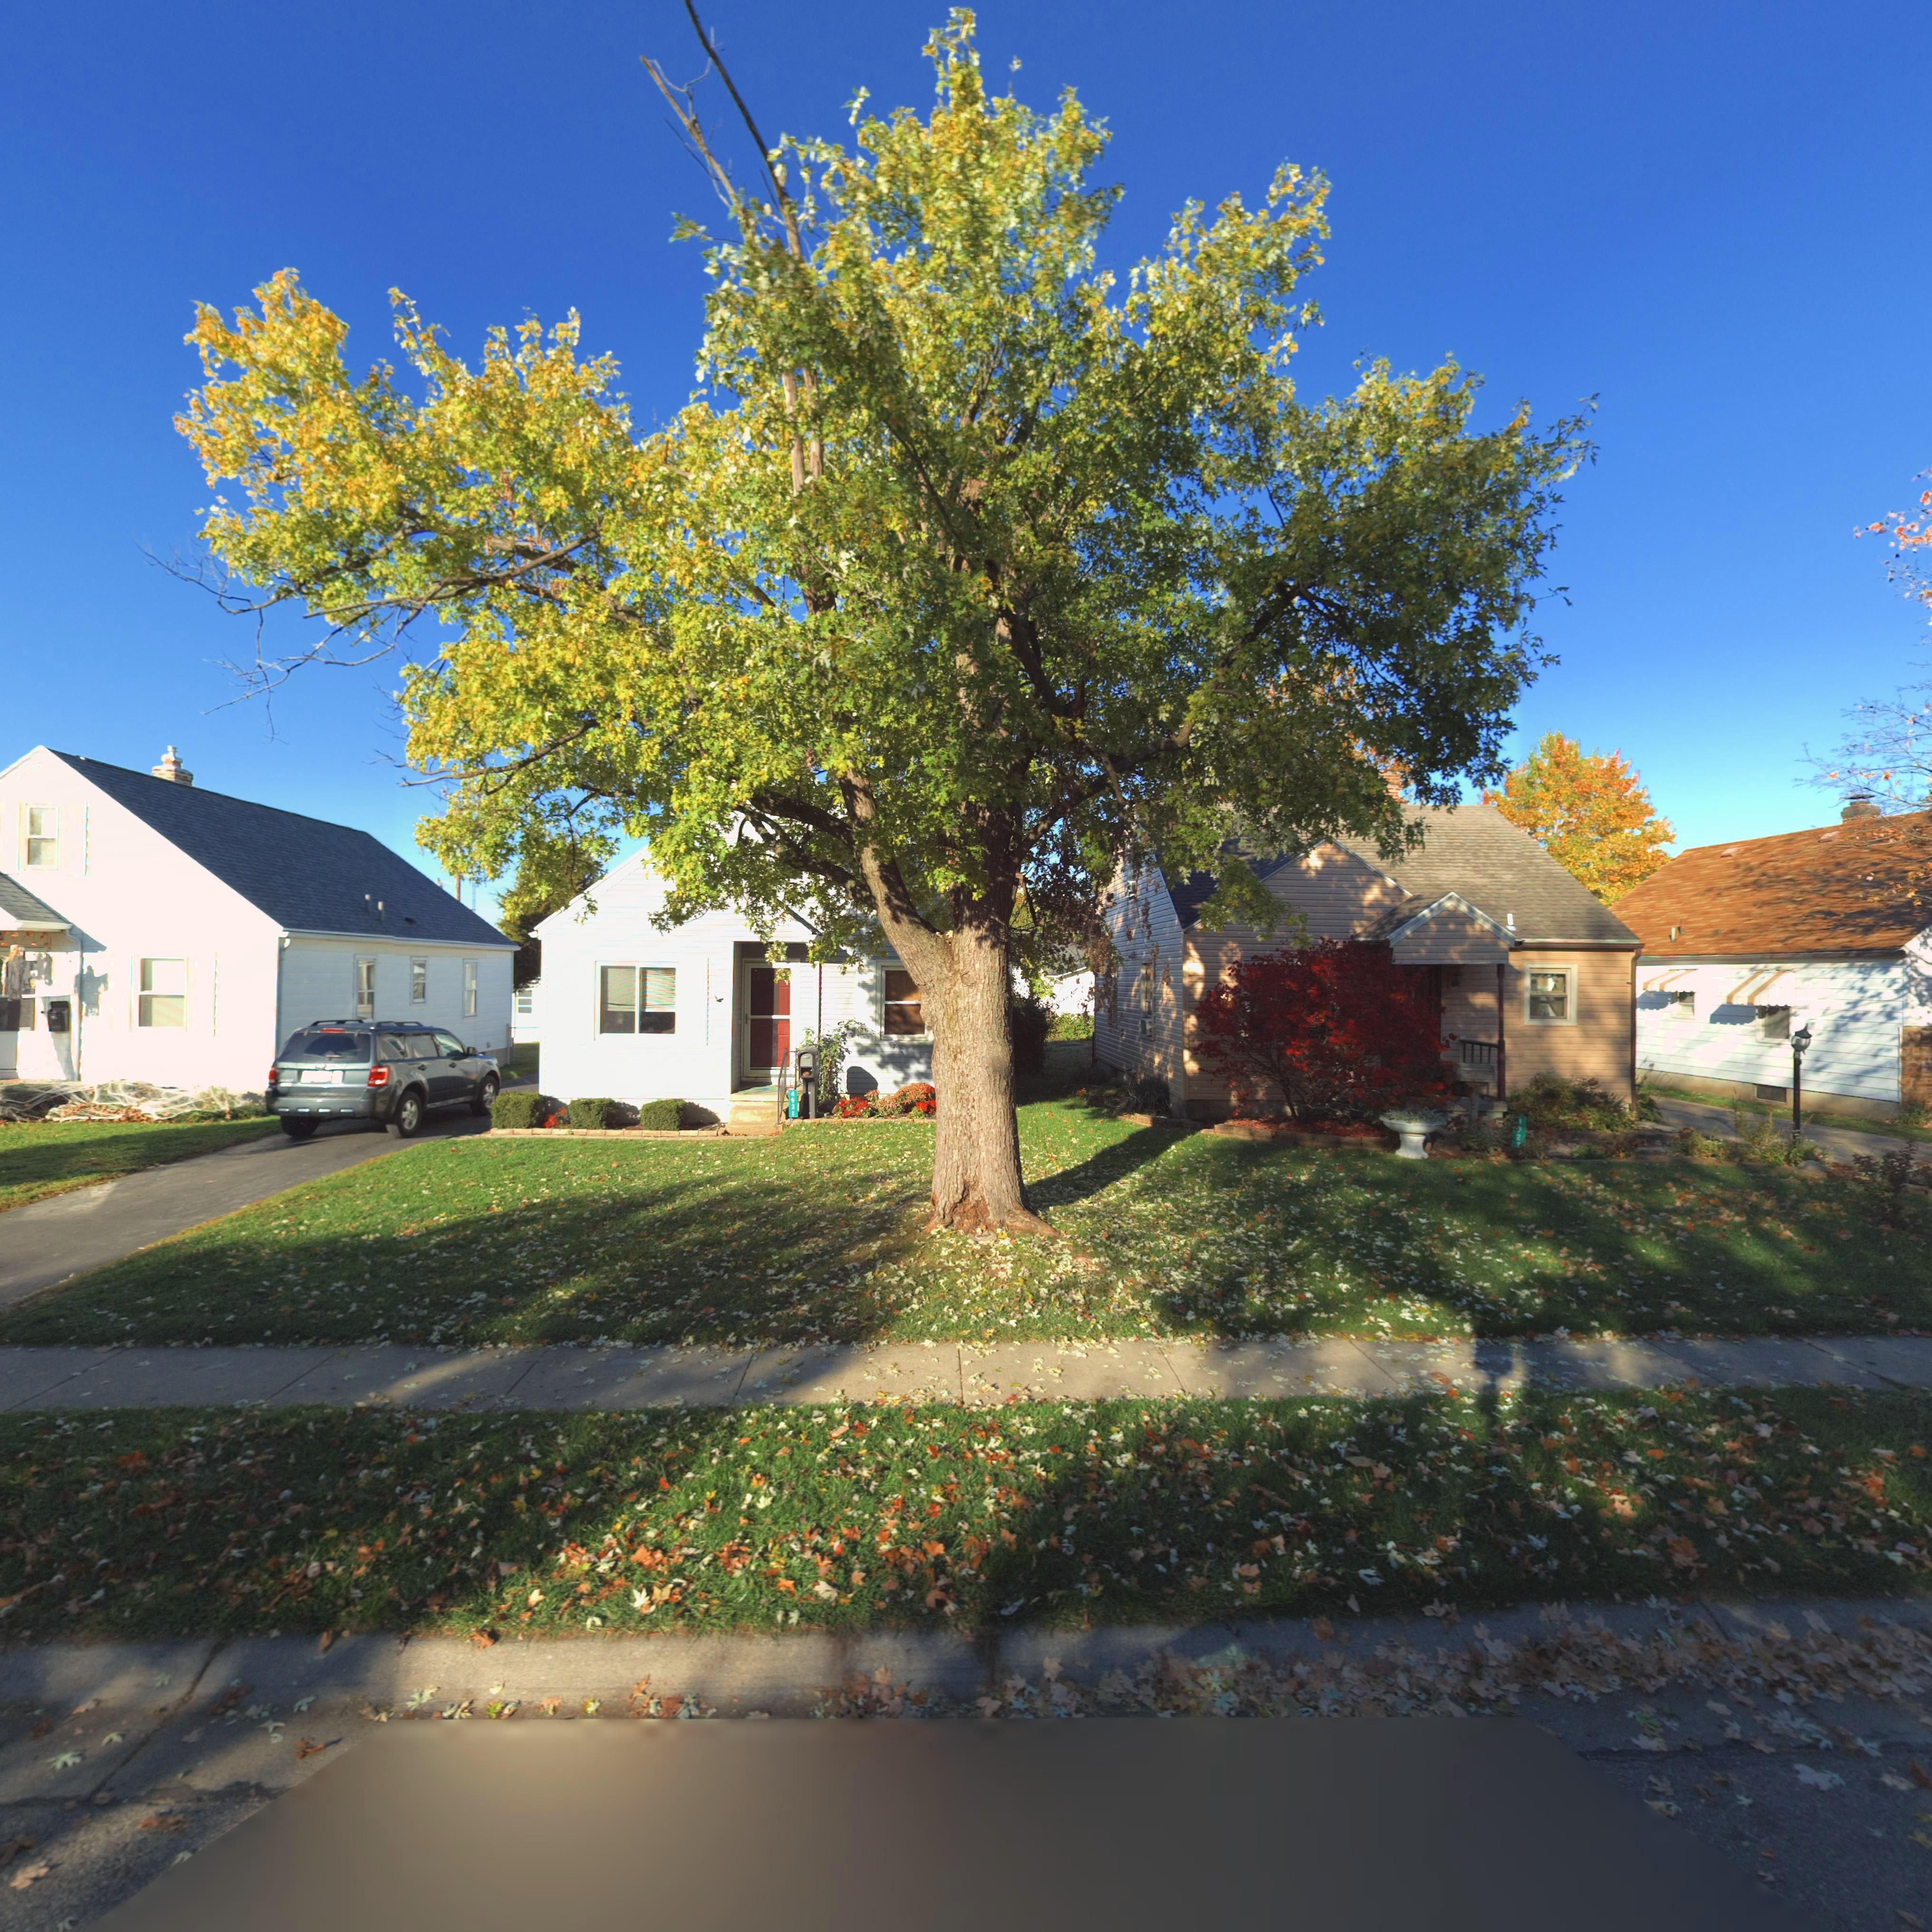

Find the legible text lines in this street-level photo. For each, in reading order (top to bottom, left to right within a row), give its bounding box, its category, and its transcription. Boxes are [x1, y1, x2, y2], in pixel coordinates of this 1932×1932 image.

[790, 1090, 796, 1117] StreetNumber: 4931
[1516, 1118, 1522, 1148] StreetNumber: **2*